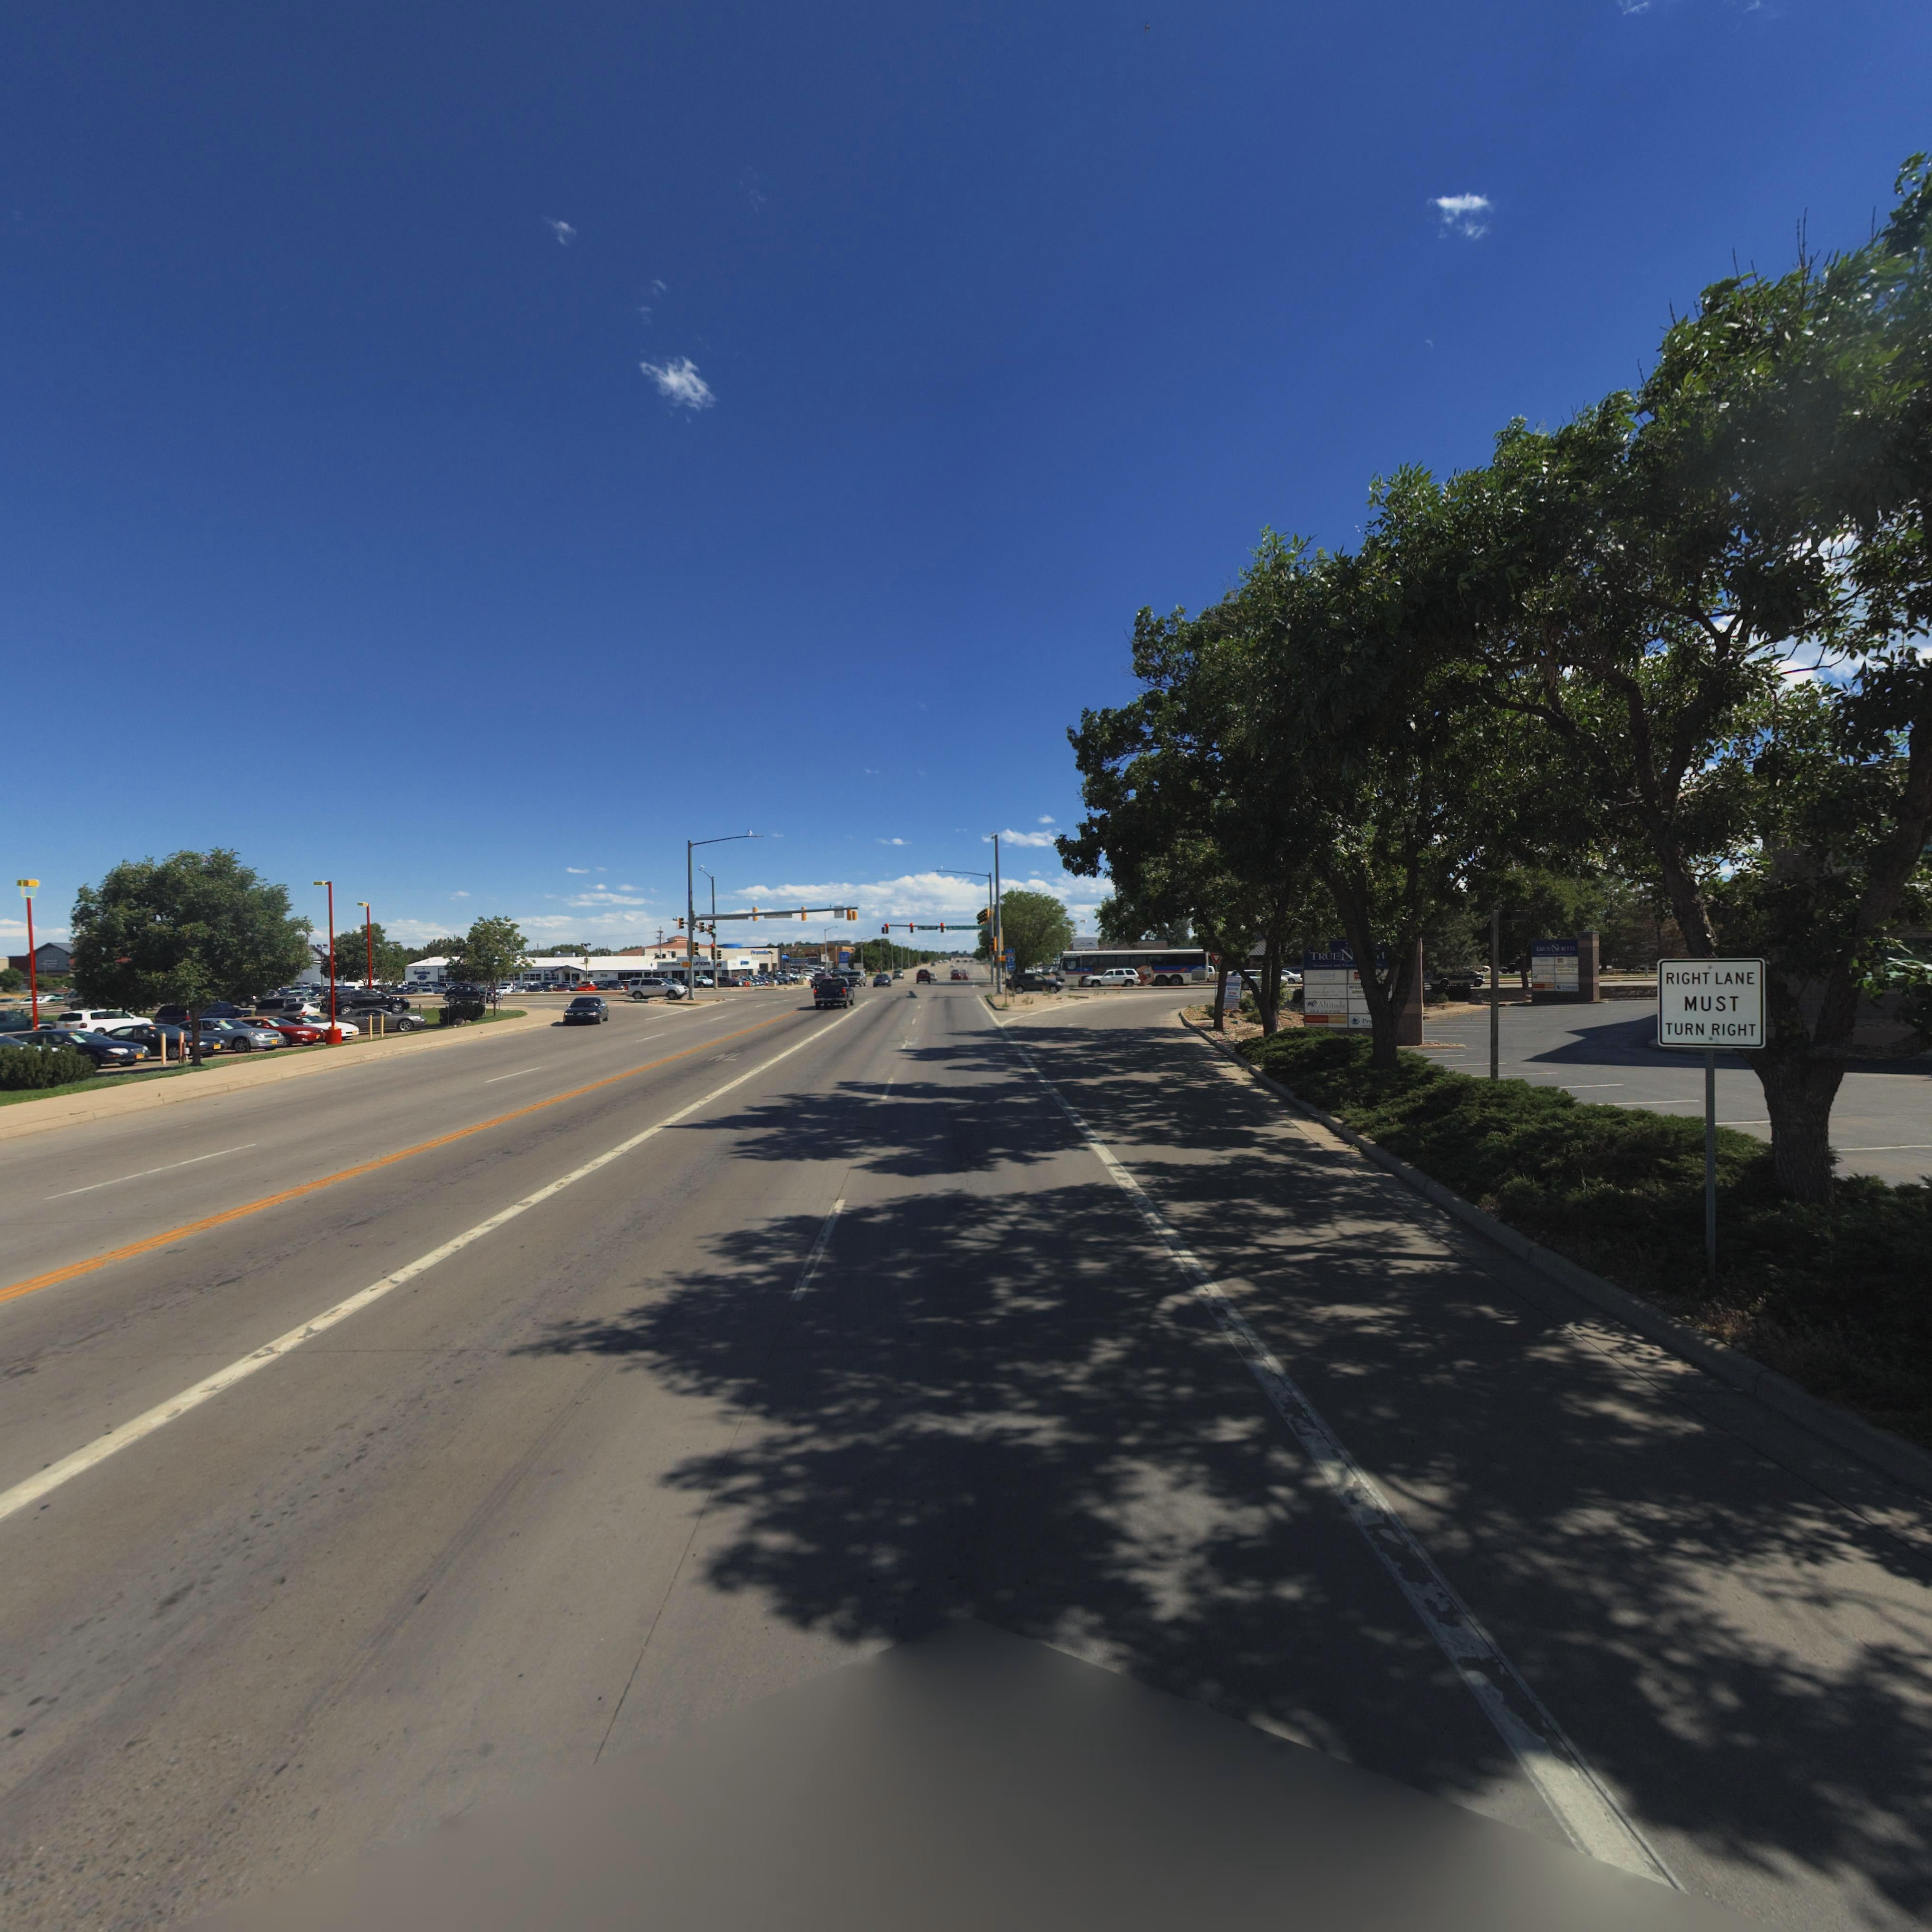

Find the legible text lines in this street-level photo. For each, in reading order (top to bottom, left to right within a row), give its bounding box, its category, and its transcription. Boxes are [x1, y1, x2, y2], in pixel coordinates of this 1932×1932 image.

[1534, 943, 1575, 952] BusinessName: TRUE NORTH
[1308, 948, 1386, 961] BusinessName: TRUE N****
[692, 961, 711, 966] BusinessName: UnDA
[1315, 973, 1336, 978] BusinessName: *AM
[1349, 985, 1361, 989] BusinessName: **TEG
[1321, 985, 1327, 996] BusinessName: f
[1351, 989, 1363, 994] BusinessName: ASSOC
[1317, 999, 1346, 1008] BusinessName: Altitude
[1310, 1010, 1341, 1013] BusinessName: MASSAGE
[1362, 1018, 1370, 1024] BusinessName: Pr